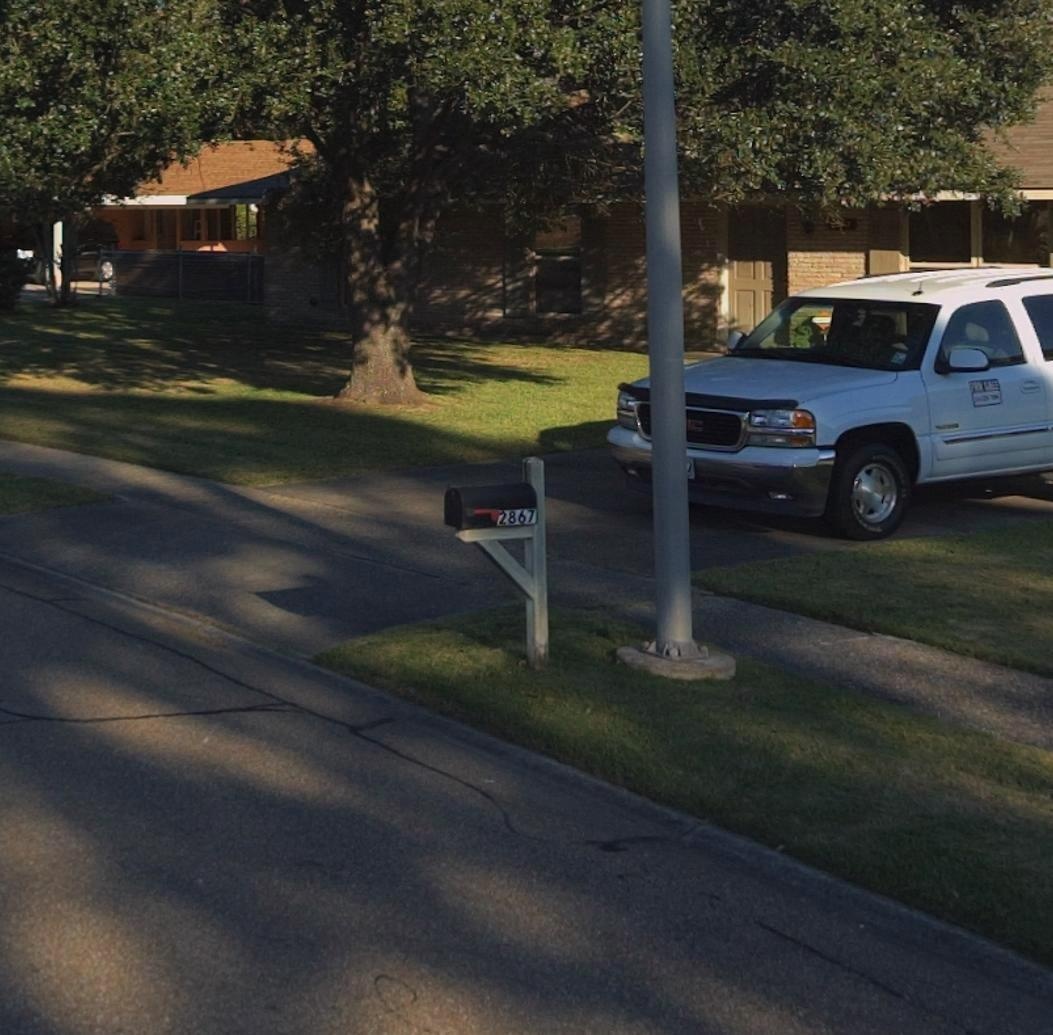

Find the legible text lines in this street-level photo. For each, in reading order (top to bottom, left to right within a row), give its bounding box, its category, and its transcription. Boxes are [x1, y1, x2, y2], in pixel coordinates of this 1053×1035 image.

[498, 509, 536, 526] StreetNumber: 2867